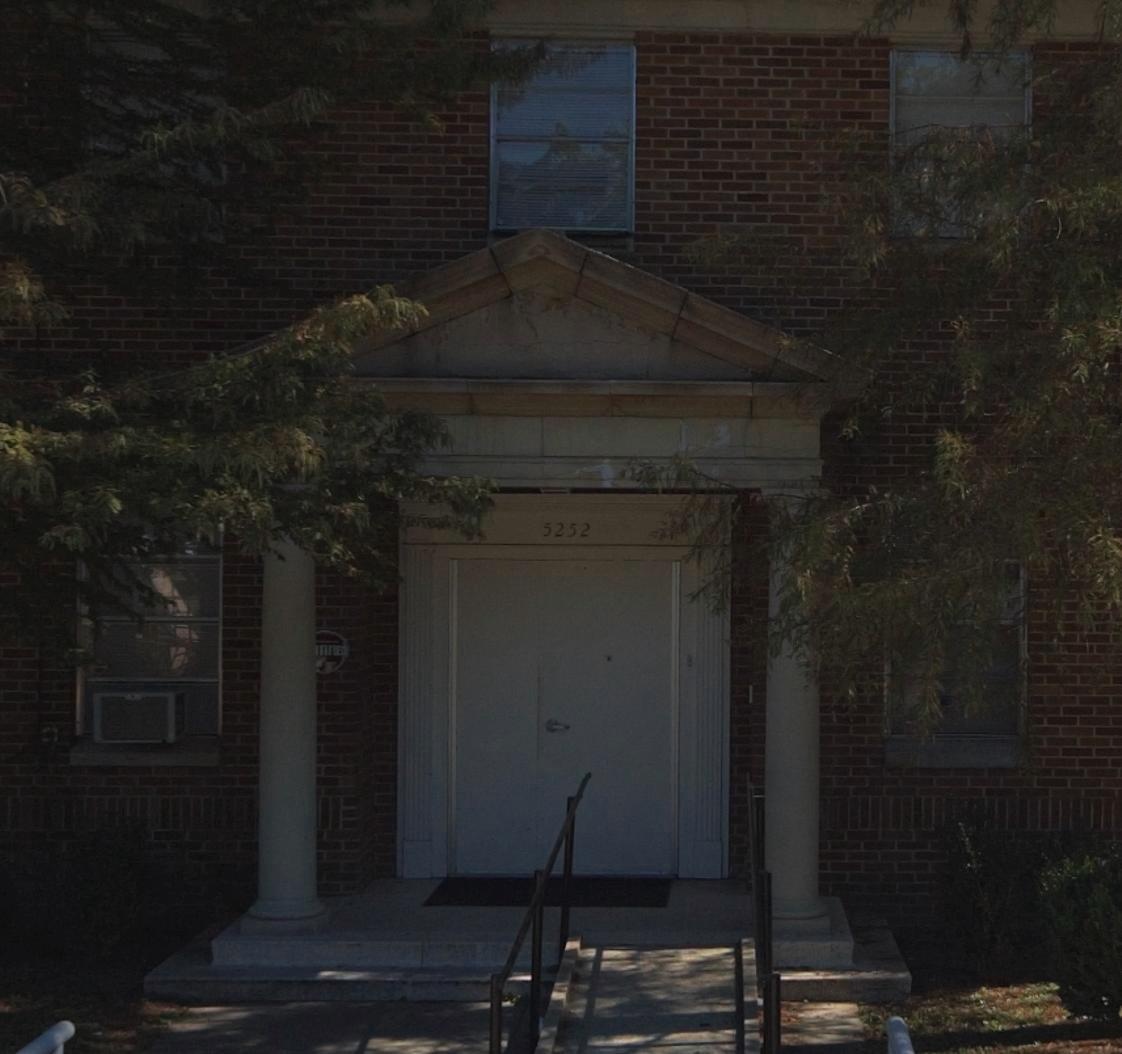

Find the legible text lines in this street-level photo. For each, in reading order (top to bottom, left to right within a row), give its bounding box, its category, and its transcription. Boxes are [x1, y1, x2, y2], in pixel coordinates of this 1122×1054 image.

[541, 521, 592, 538] StreetNumber: 5252
[318, 644, 348, 657] None: TIFIED